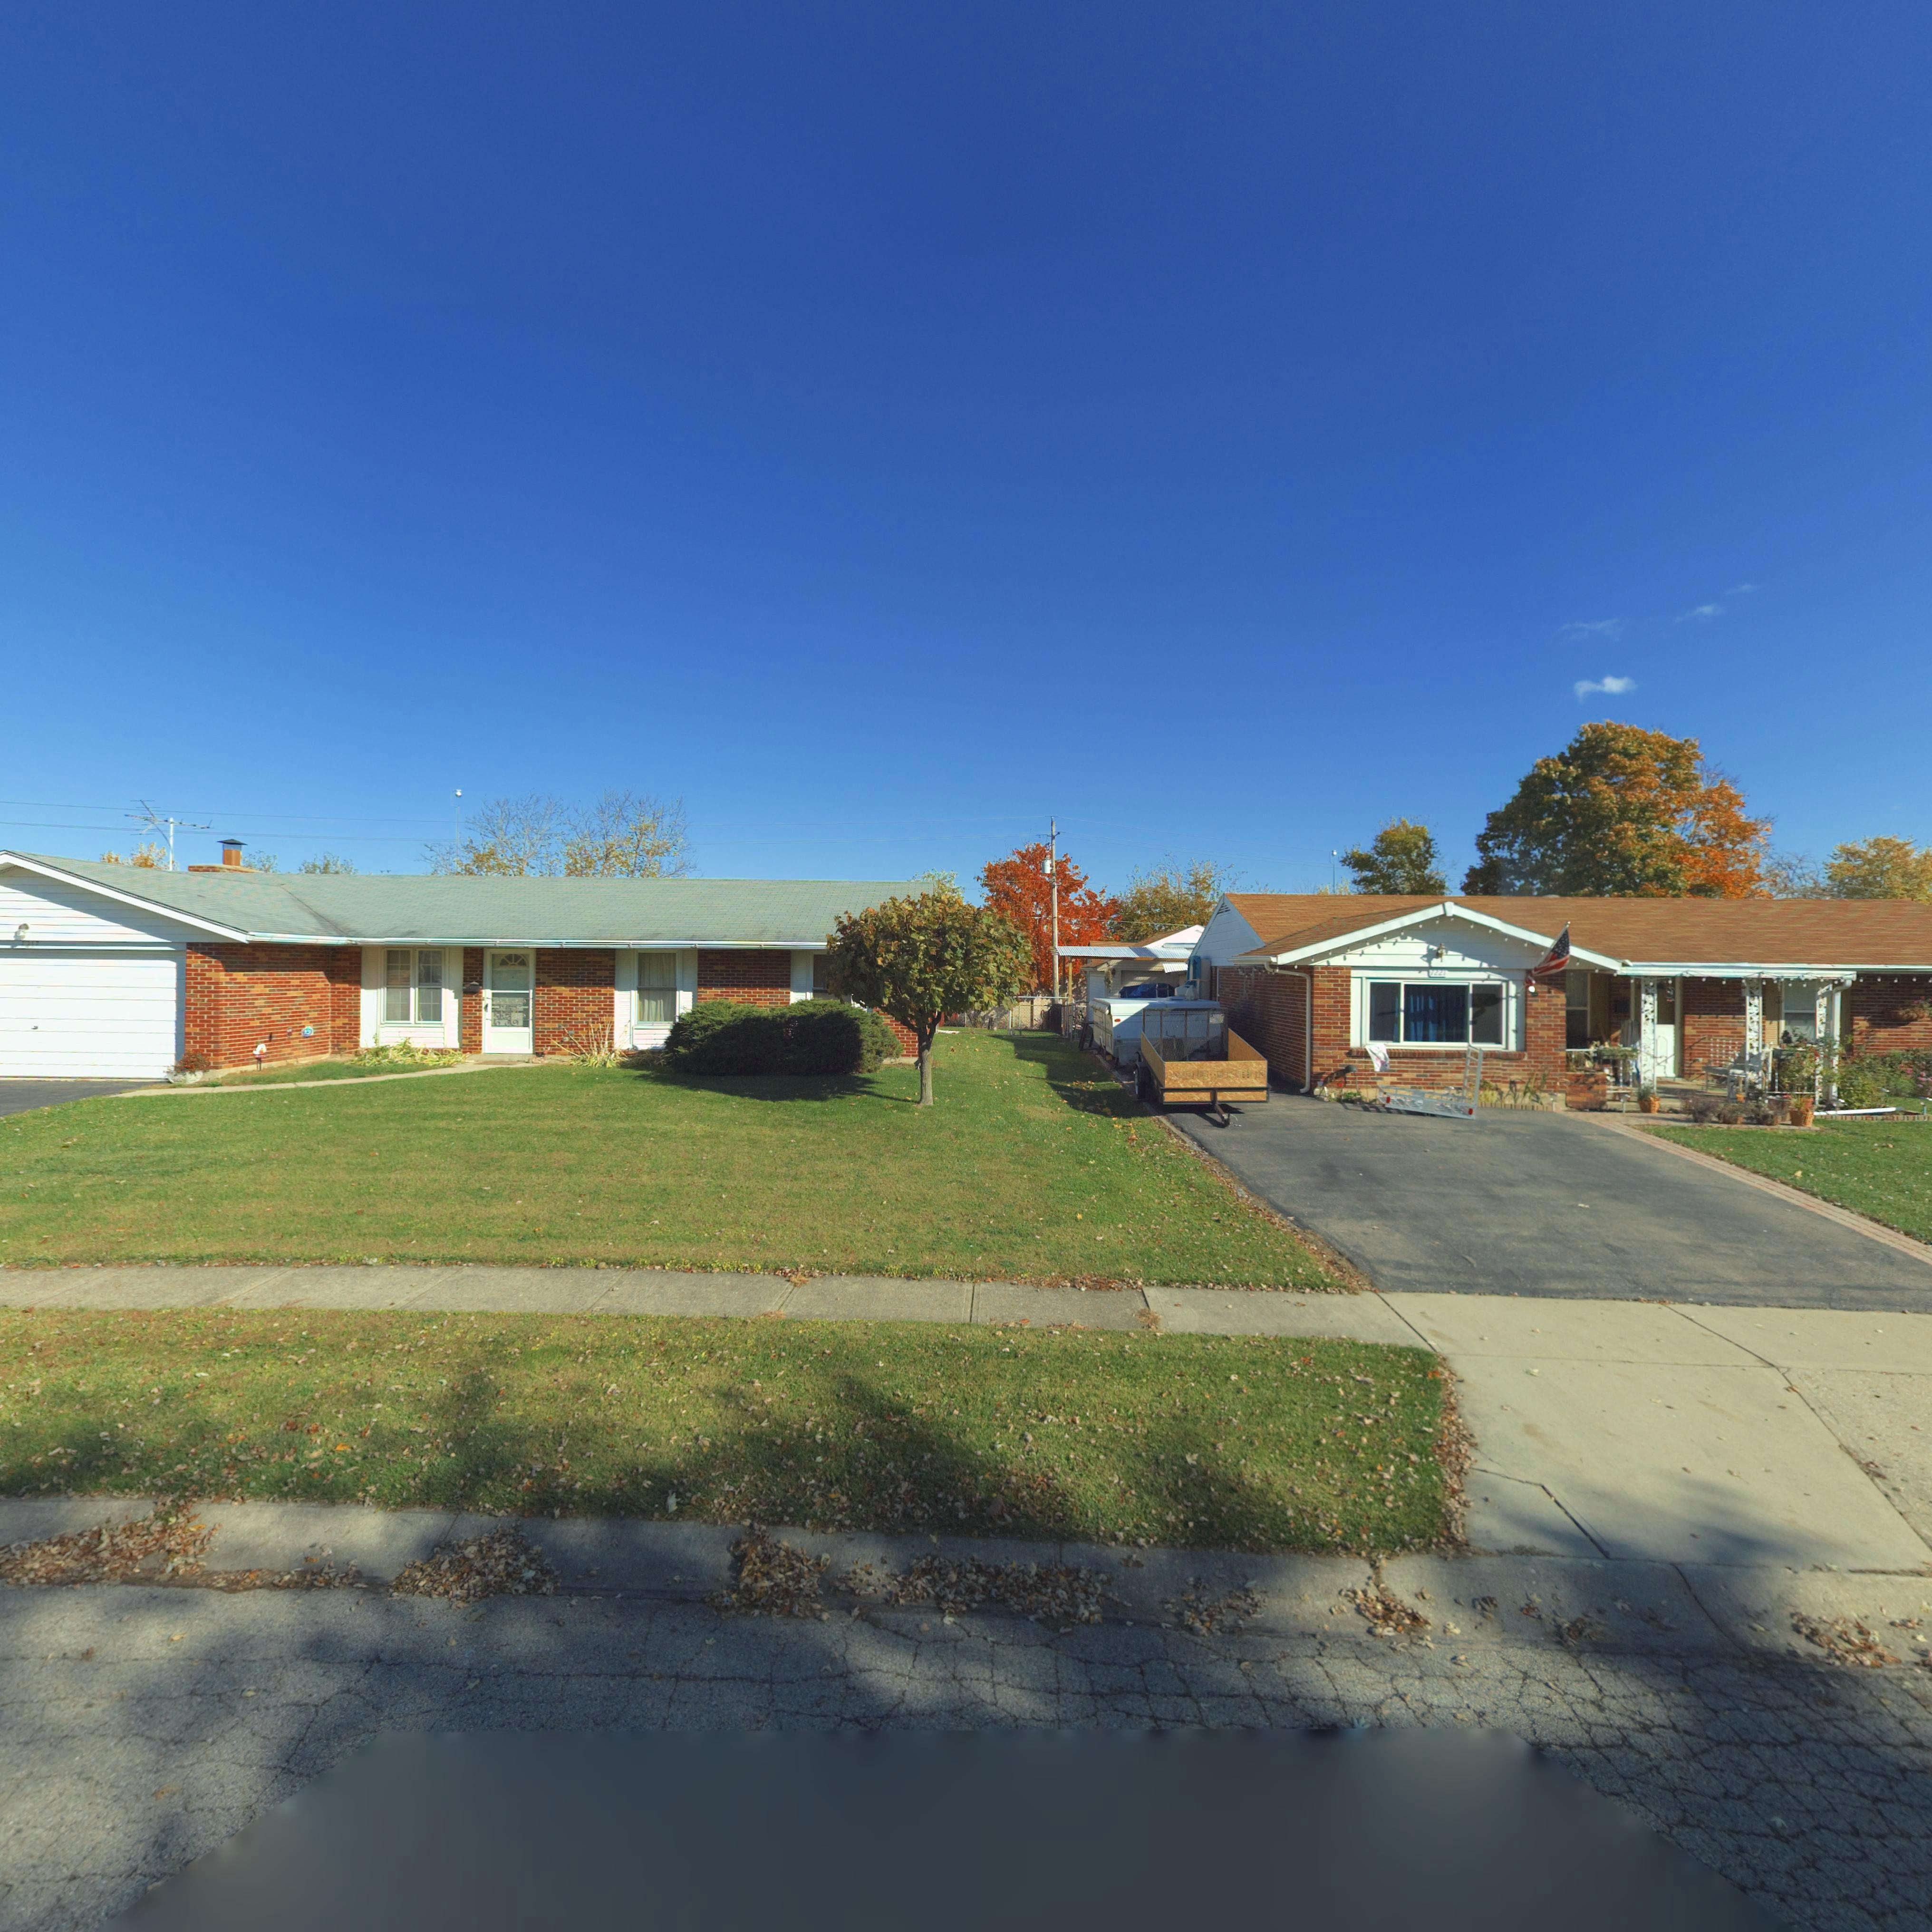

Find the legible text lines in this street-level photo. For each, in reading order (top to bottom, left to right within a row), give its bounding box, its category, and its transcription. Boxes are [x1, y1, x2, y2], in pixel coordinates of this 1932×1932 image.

[19, 939, 41, 949] StreetNumber: **1*
[1430, 968, 1447, 977] StreetNumber: 7221